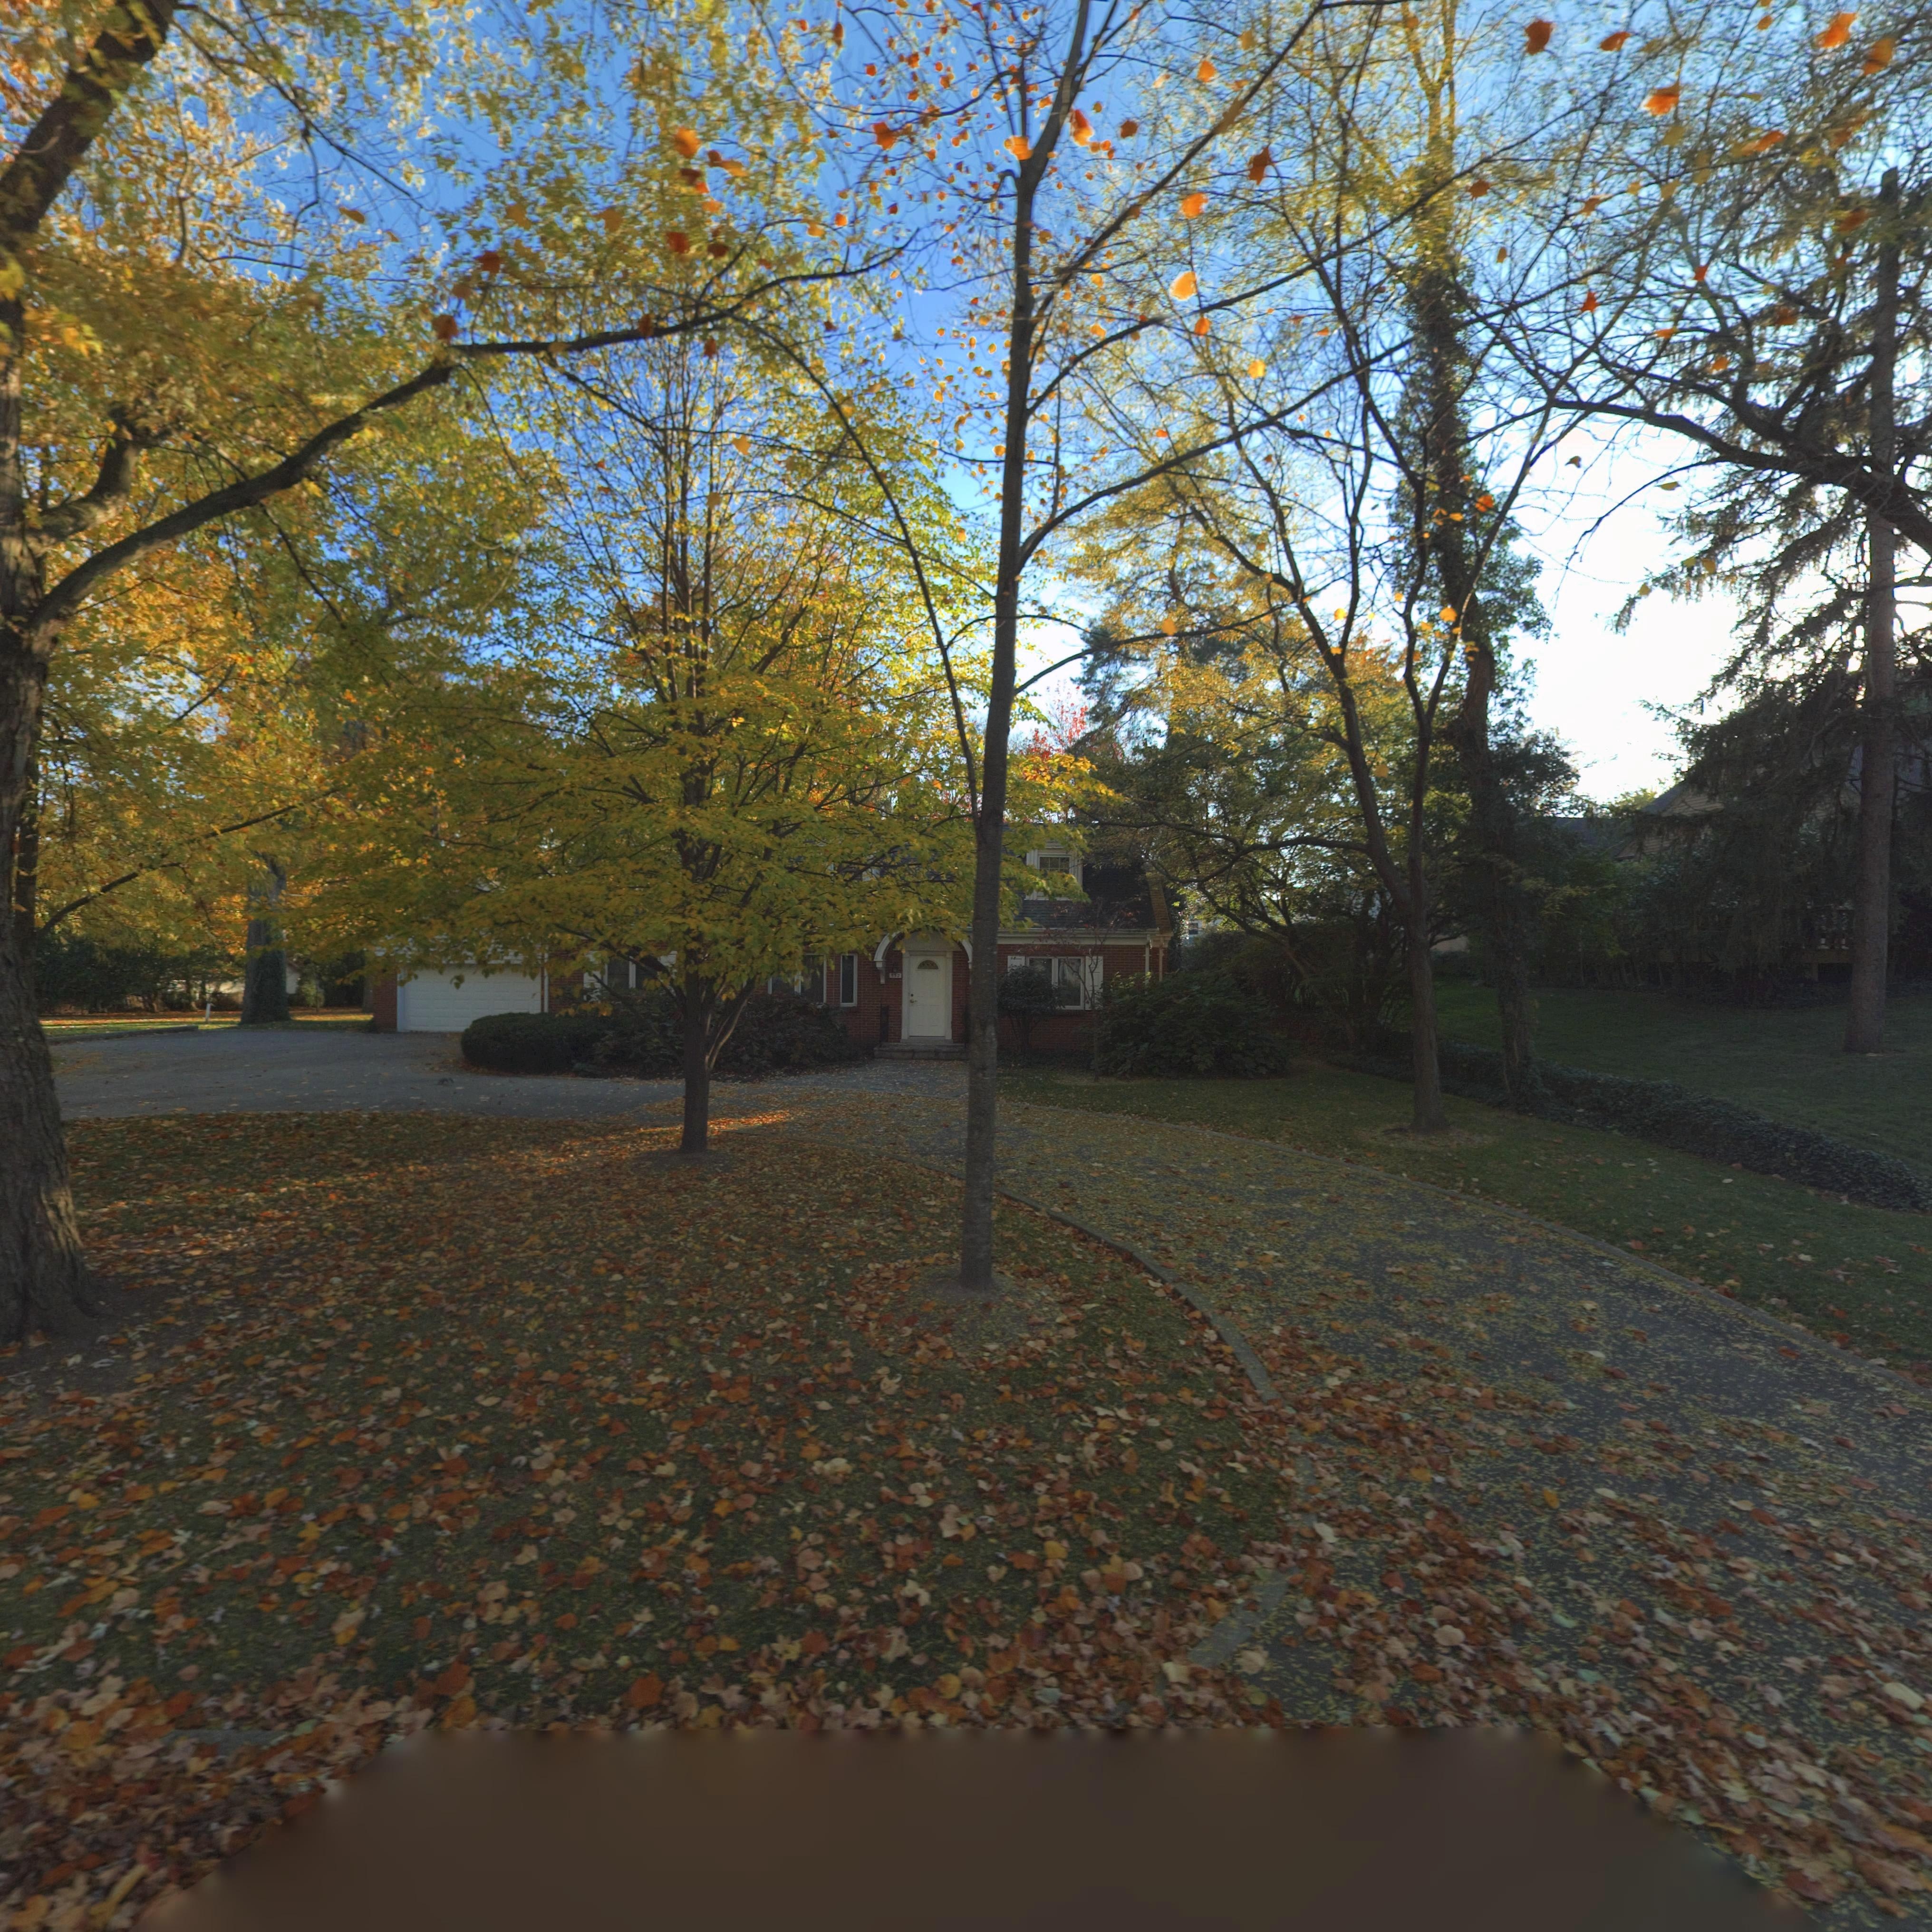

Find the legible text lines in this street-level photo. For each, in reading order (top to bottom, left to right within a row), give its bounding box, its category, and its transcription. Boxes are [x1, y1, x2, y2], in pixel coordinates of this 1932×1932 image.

[890, 973, 900, 978] StreetNumber: **2